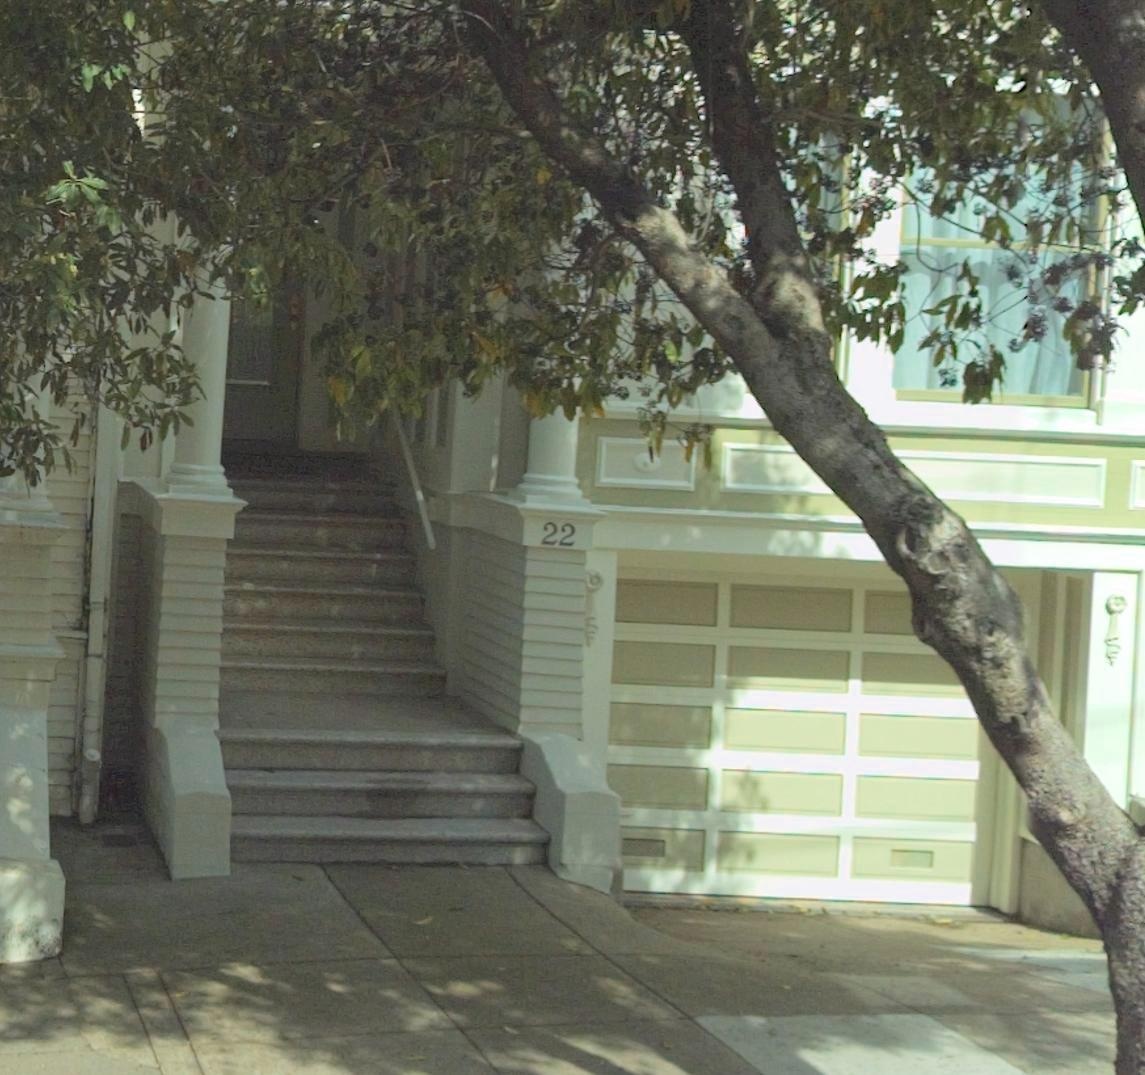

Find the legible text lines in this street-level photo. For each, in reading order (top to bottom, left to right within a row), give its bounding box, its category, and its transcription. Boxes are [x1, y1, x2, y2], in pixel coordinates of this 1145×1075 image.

[539, 520, 579, 549] StreetNumber: 22